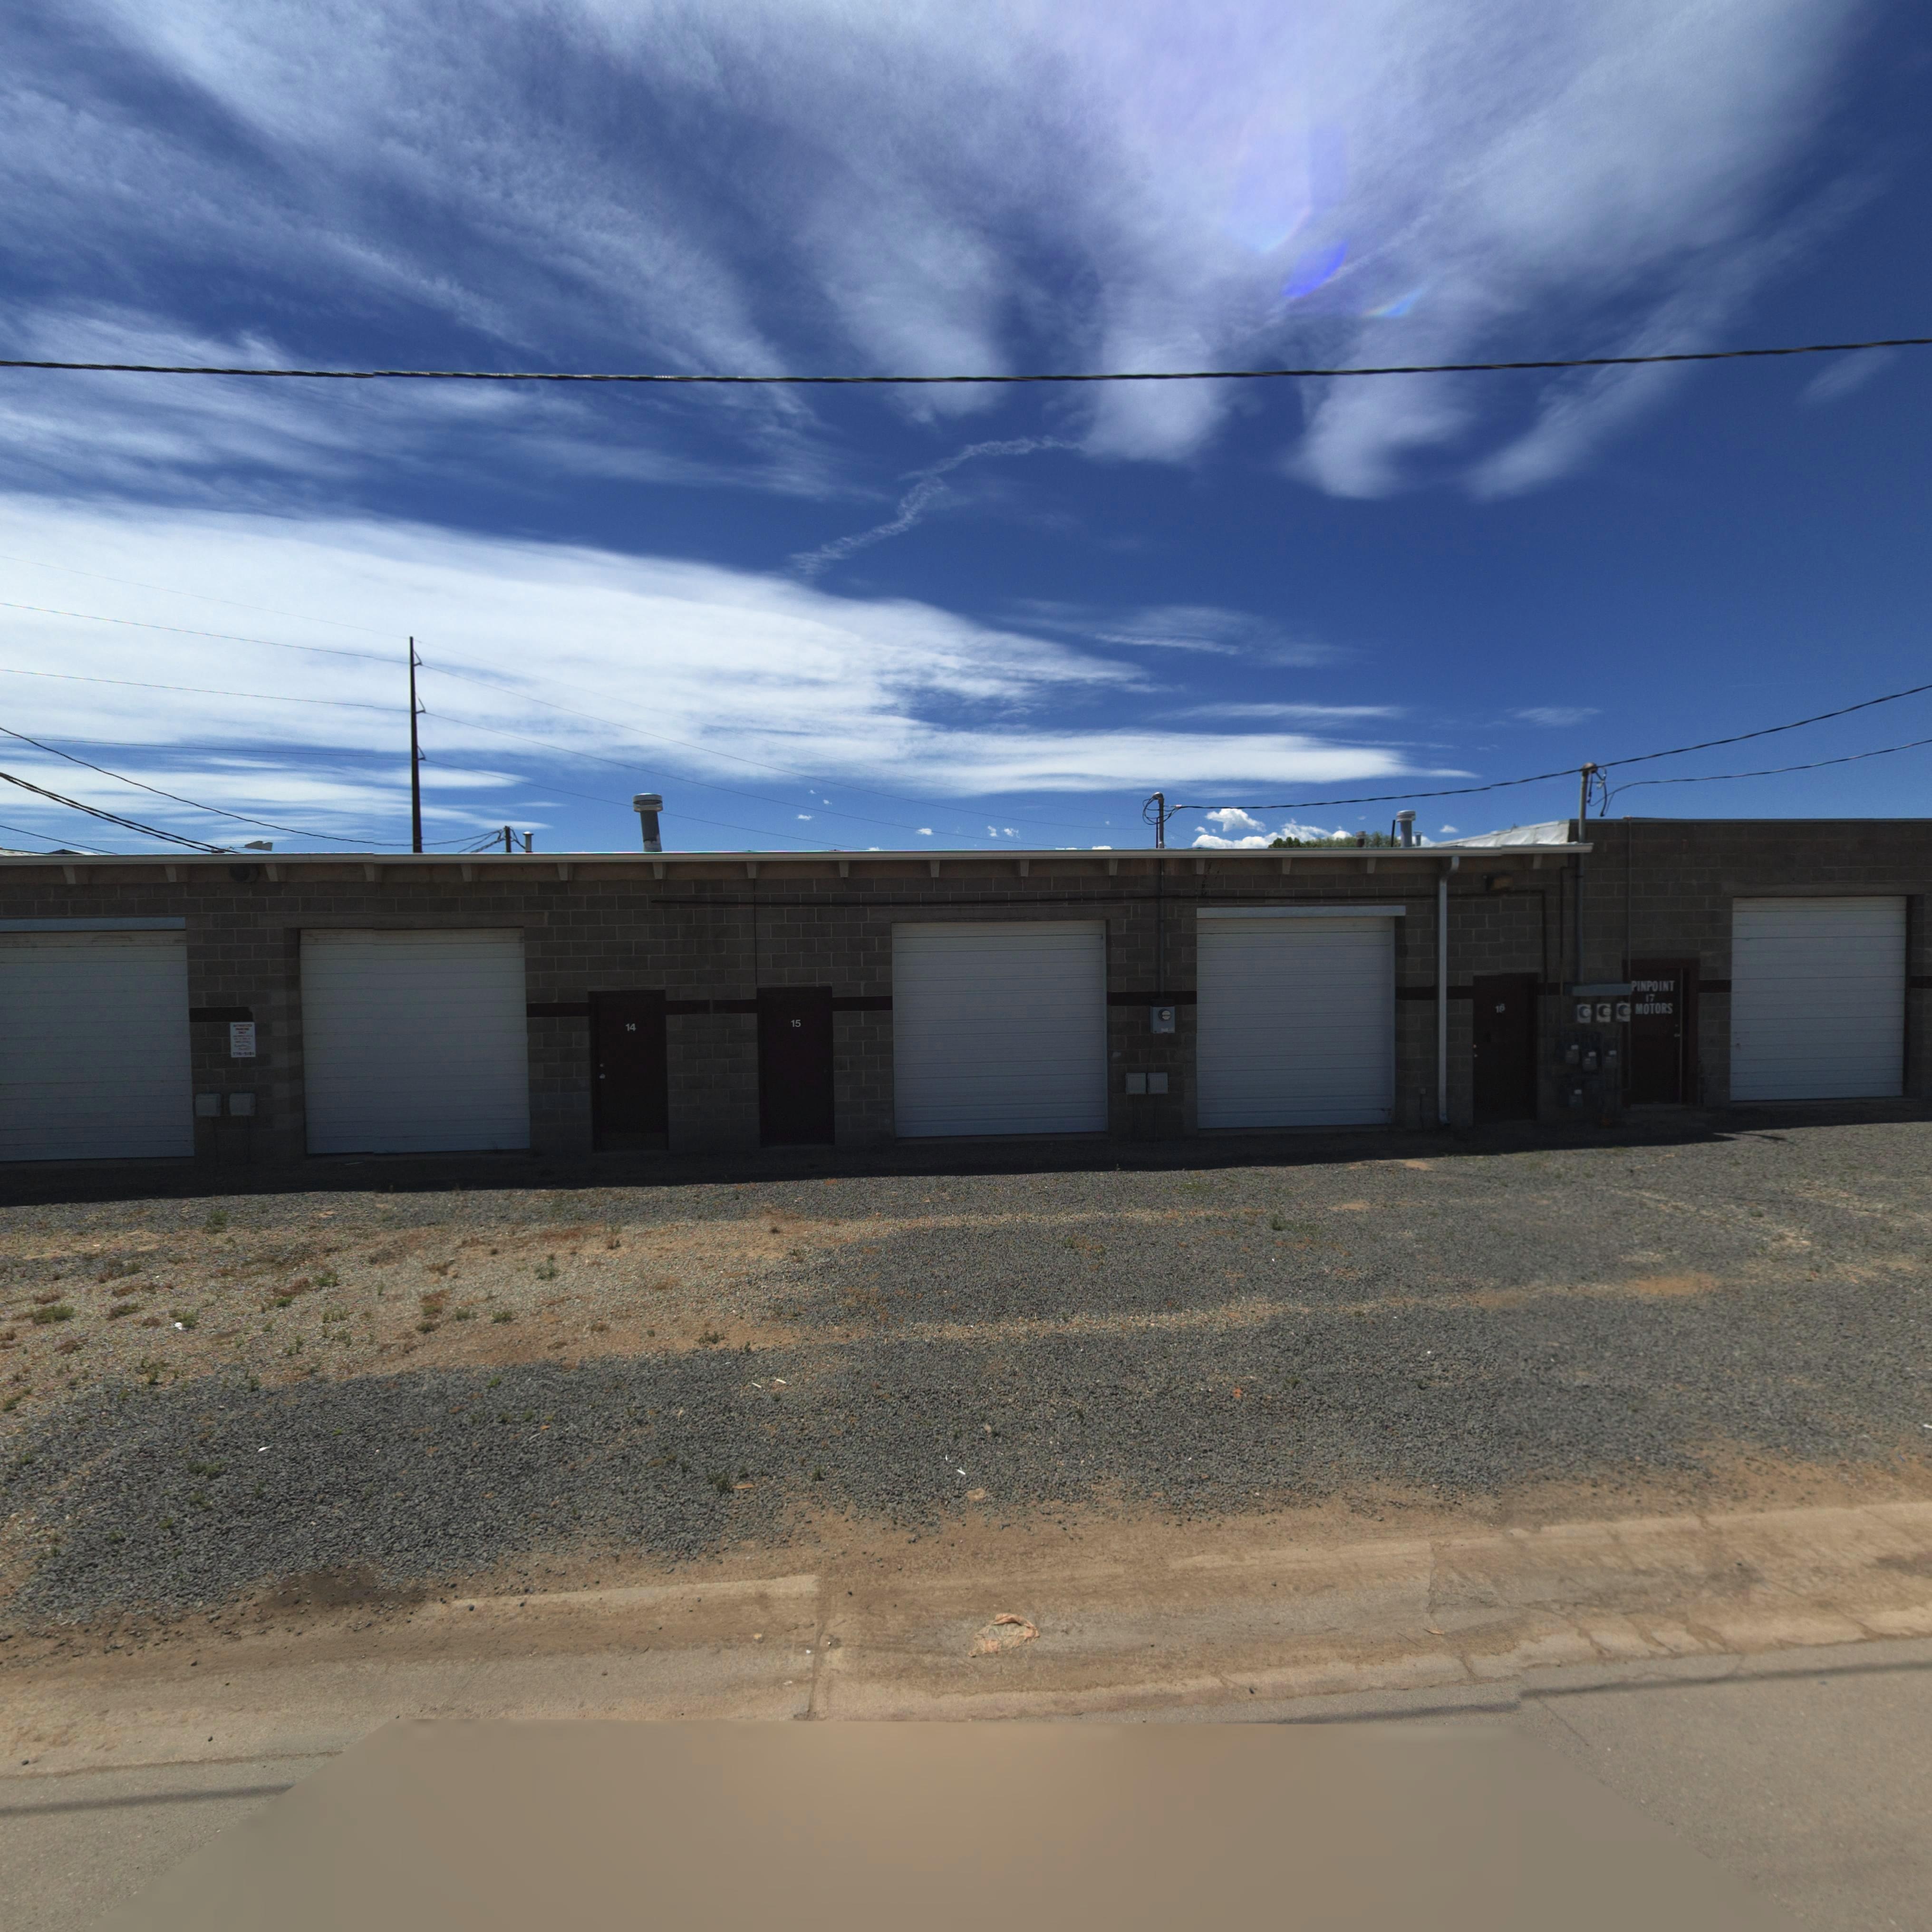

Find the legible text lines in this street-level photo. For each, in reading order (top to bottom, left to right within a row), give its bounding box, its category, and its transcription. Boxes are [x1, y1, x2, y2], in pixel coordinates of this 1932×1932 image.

[1631, 979, 1676, 992] BusinessName: PINPOINT
[1634, 1002, 1674, 1016] BusinessName: MOTORS